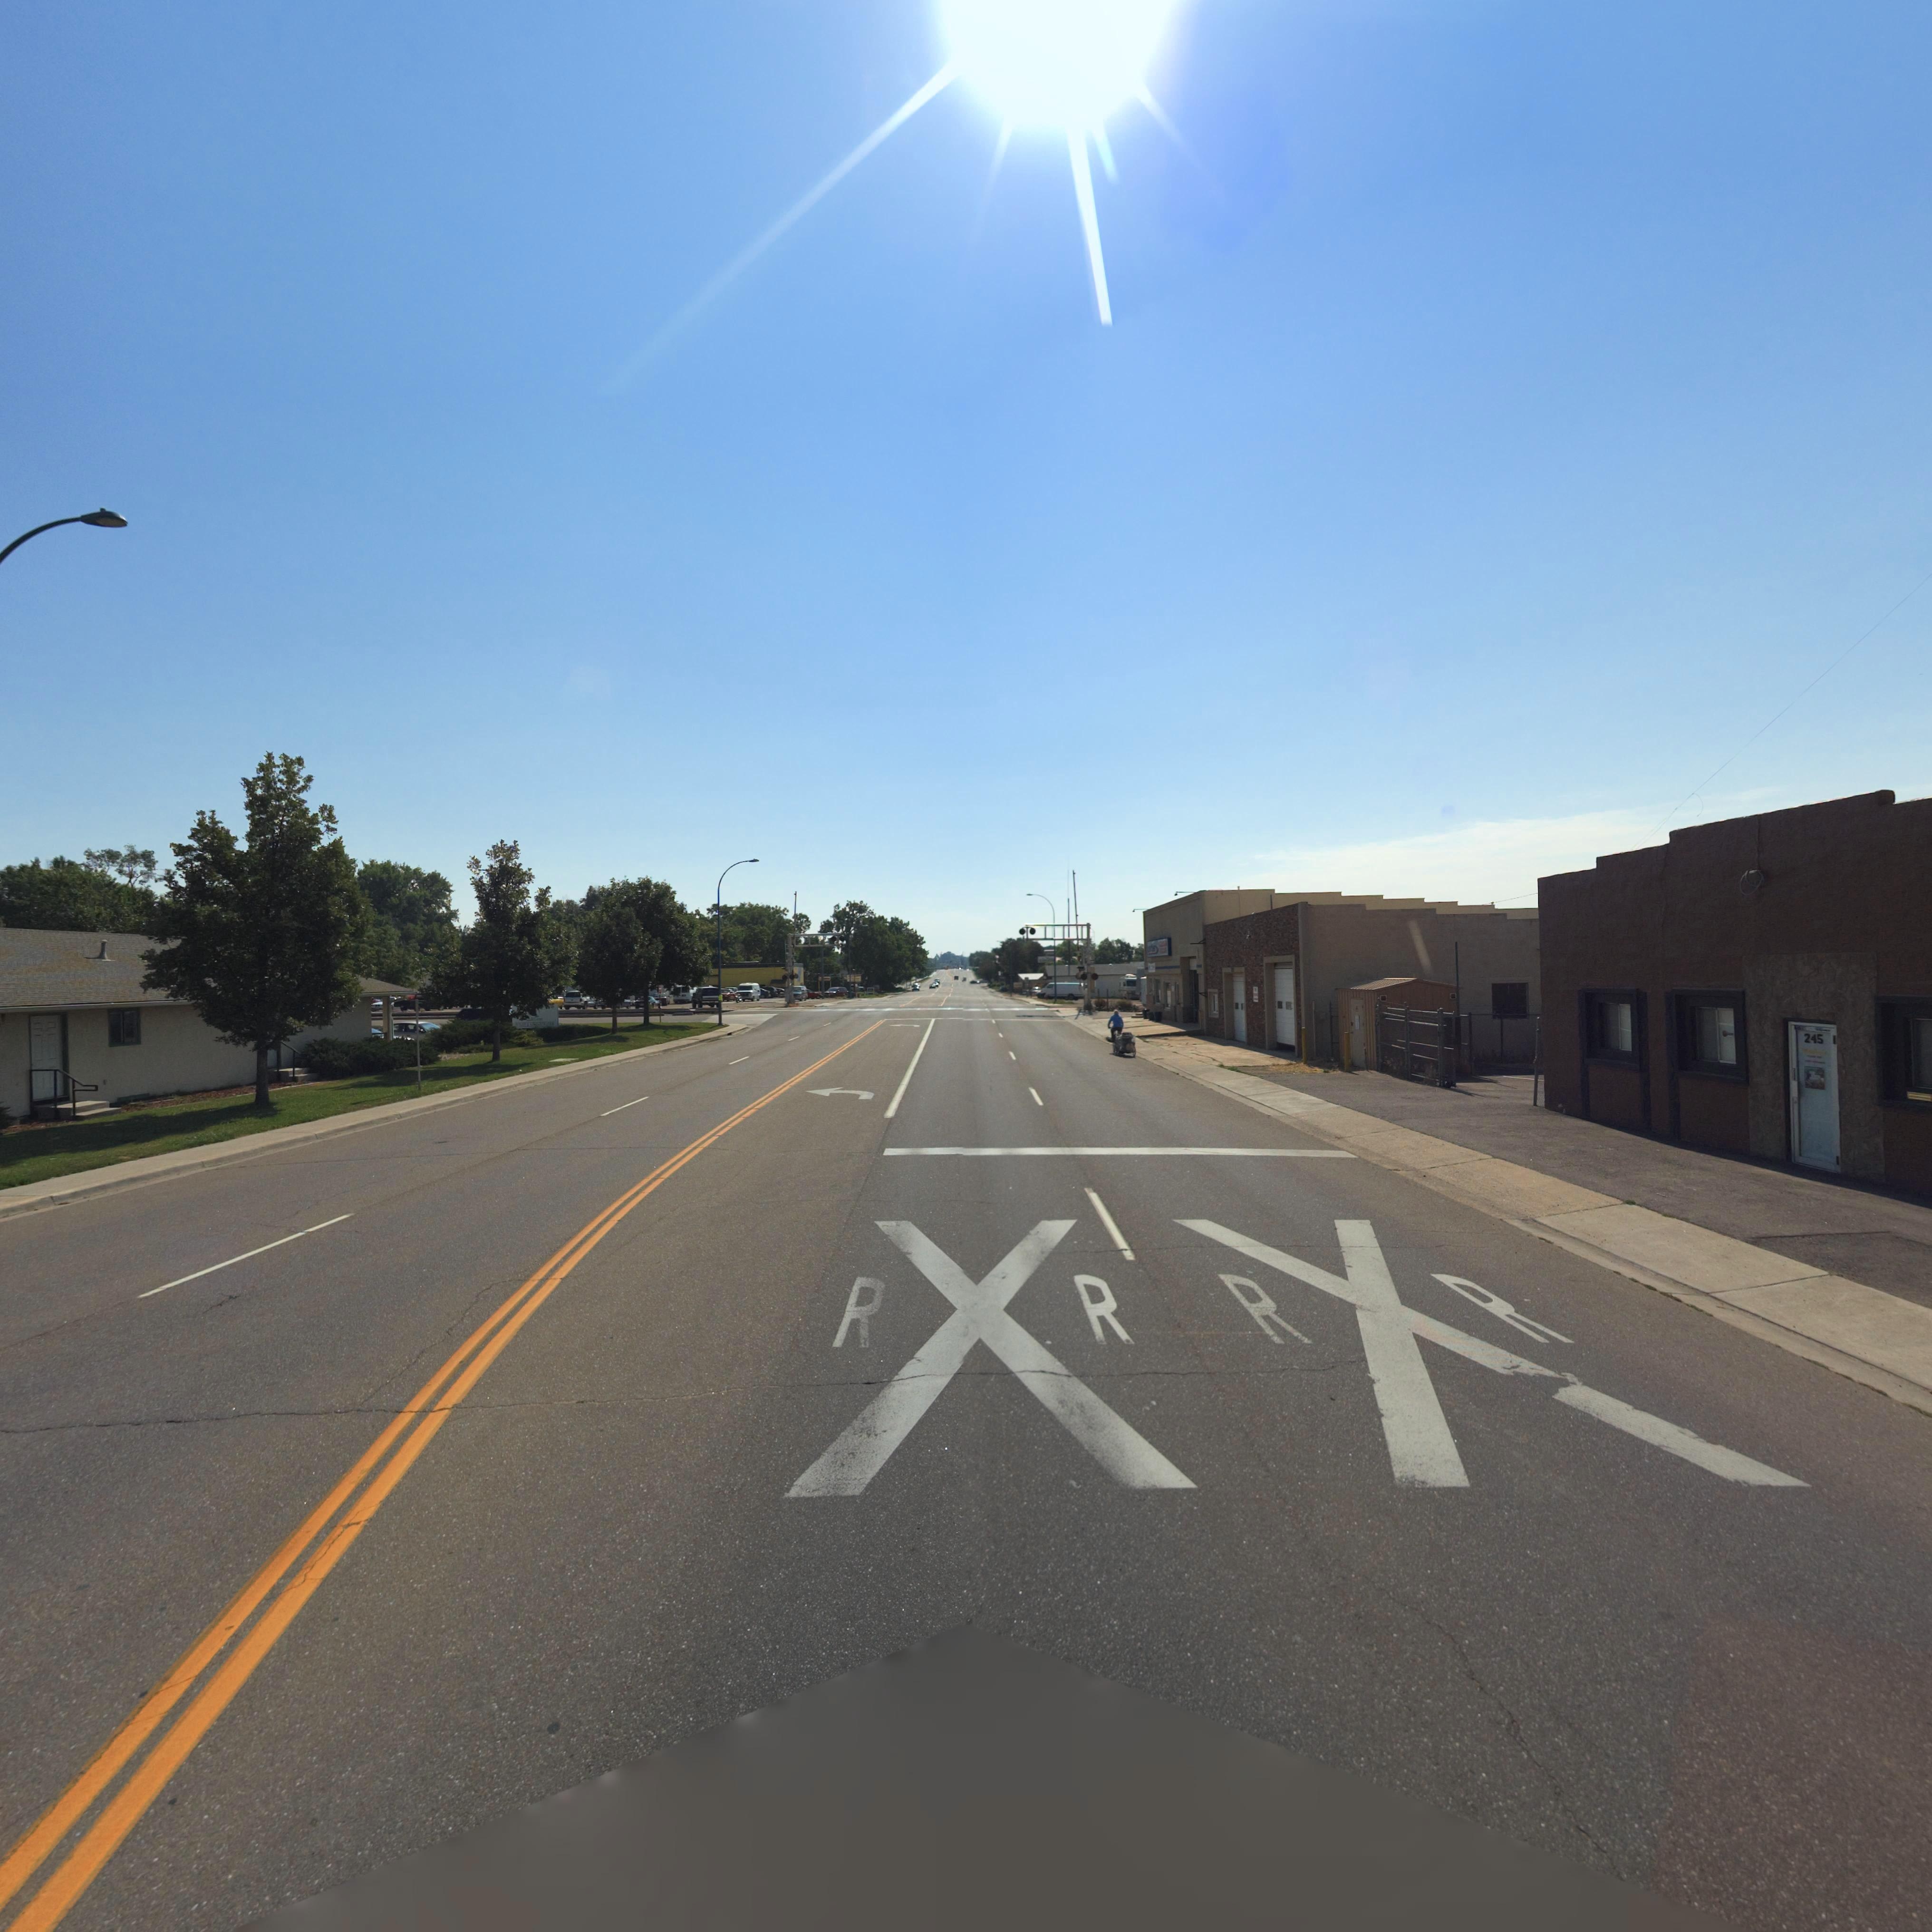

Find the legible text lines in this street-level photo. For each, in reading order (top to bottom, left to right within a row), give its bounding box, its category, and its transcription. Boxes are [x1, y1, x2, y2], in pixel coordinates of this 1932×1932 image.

[1803, 1033, 1824, 1044] StreetNumber: 245